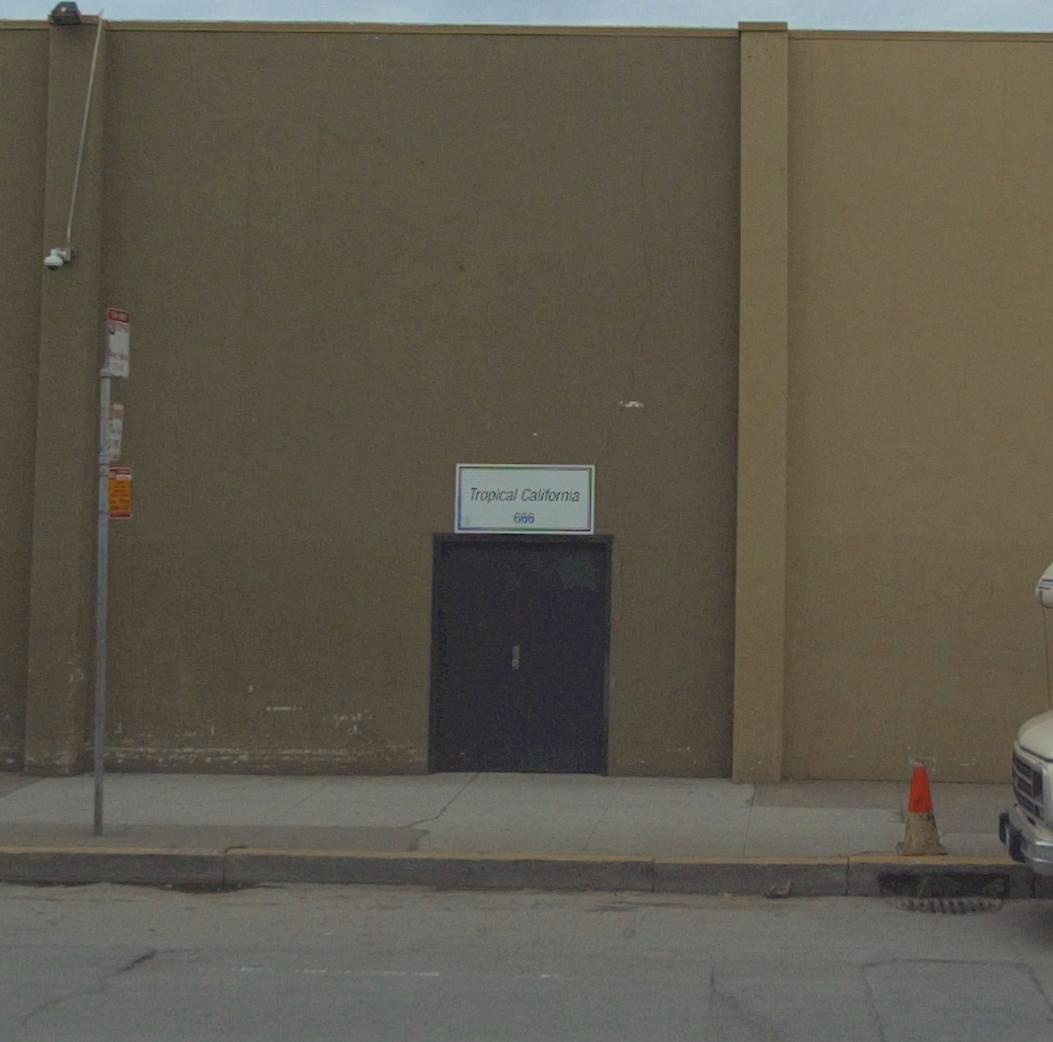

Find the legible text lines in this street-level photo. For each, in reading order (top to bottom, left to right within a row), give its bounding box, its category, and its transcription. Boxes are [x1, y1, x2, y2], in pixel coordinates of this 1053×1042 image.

[468, 484, 582, 506] BusinessName: Tropical California
[511, 510, 537, 525] StreetNumber: 666